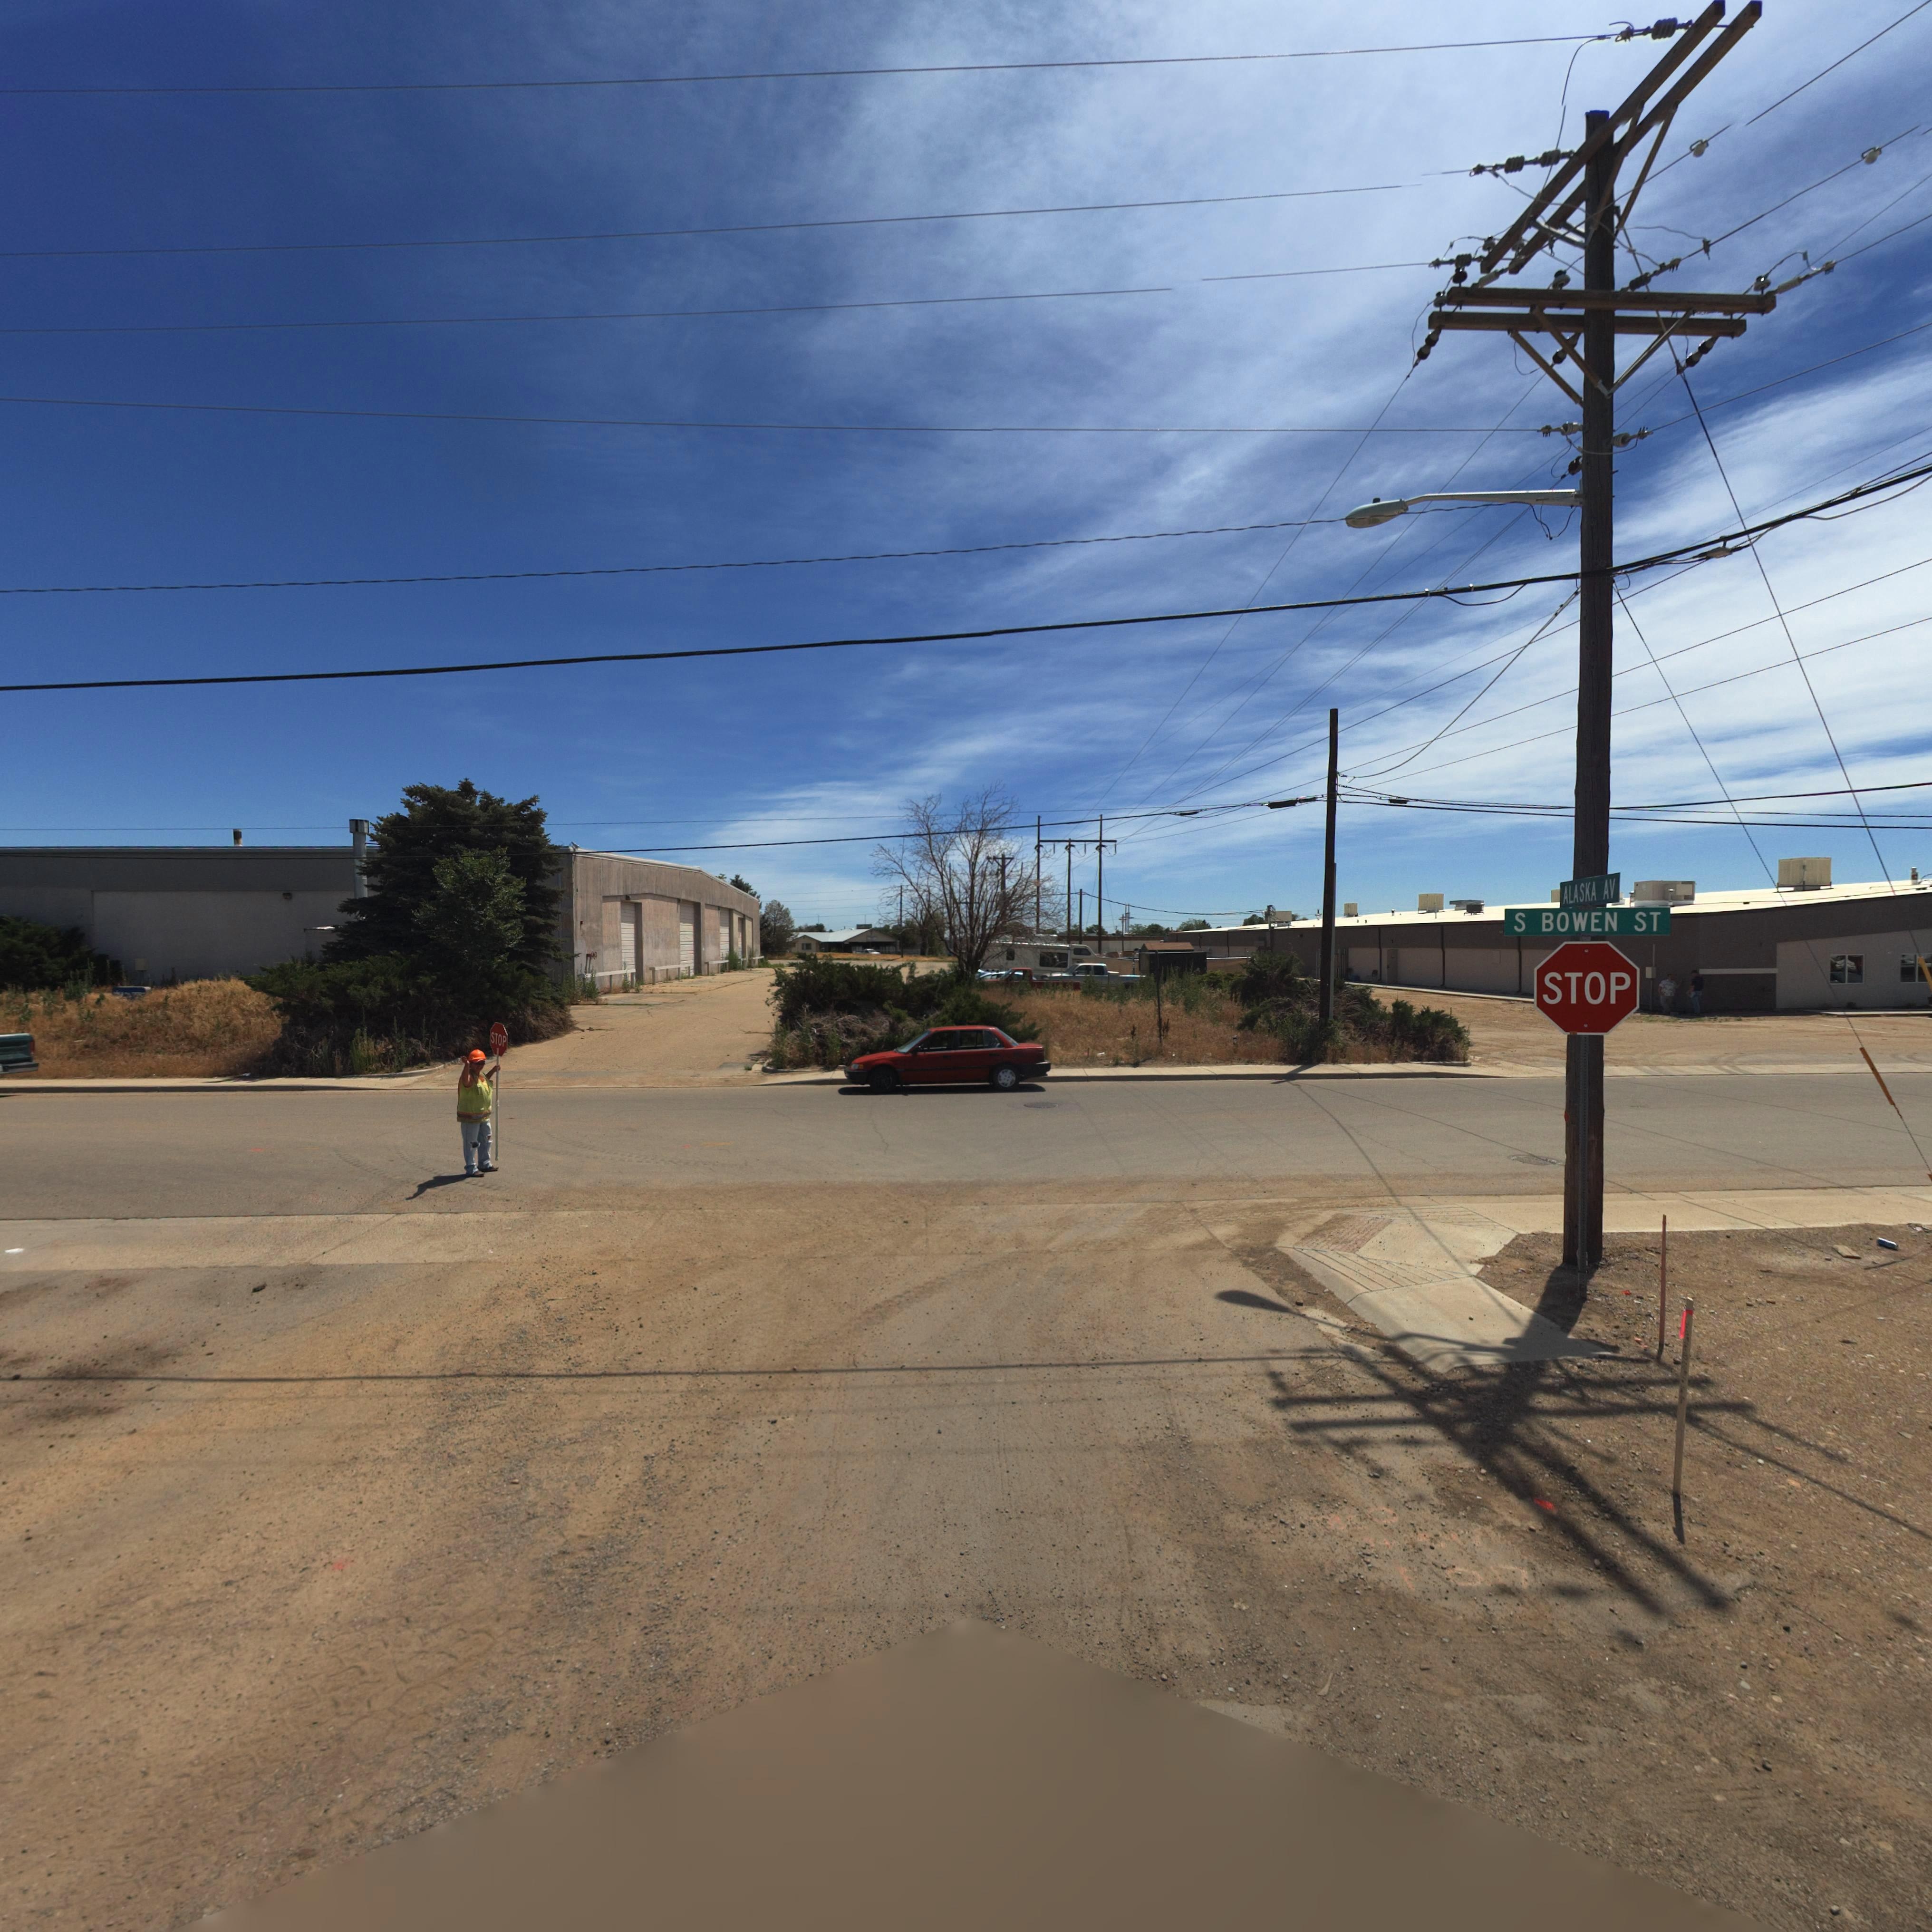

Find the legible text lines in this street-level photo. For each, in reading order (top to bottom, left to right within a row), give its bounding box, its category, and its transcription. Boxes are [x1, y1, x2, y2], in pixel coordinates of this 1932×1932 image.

[1562, 877, 1616, 904] StreetName: ALASKA AV
[1513, 910, 1662, 932] StreetName: S BOWEN ST
[1542, 972, 1630, 1004] BusinessName: STOP